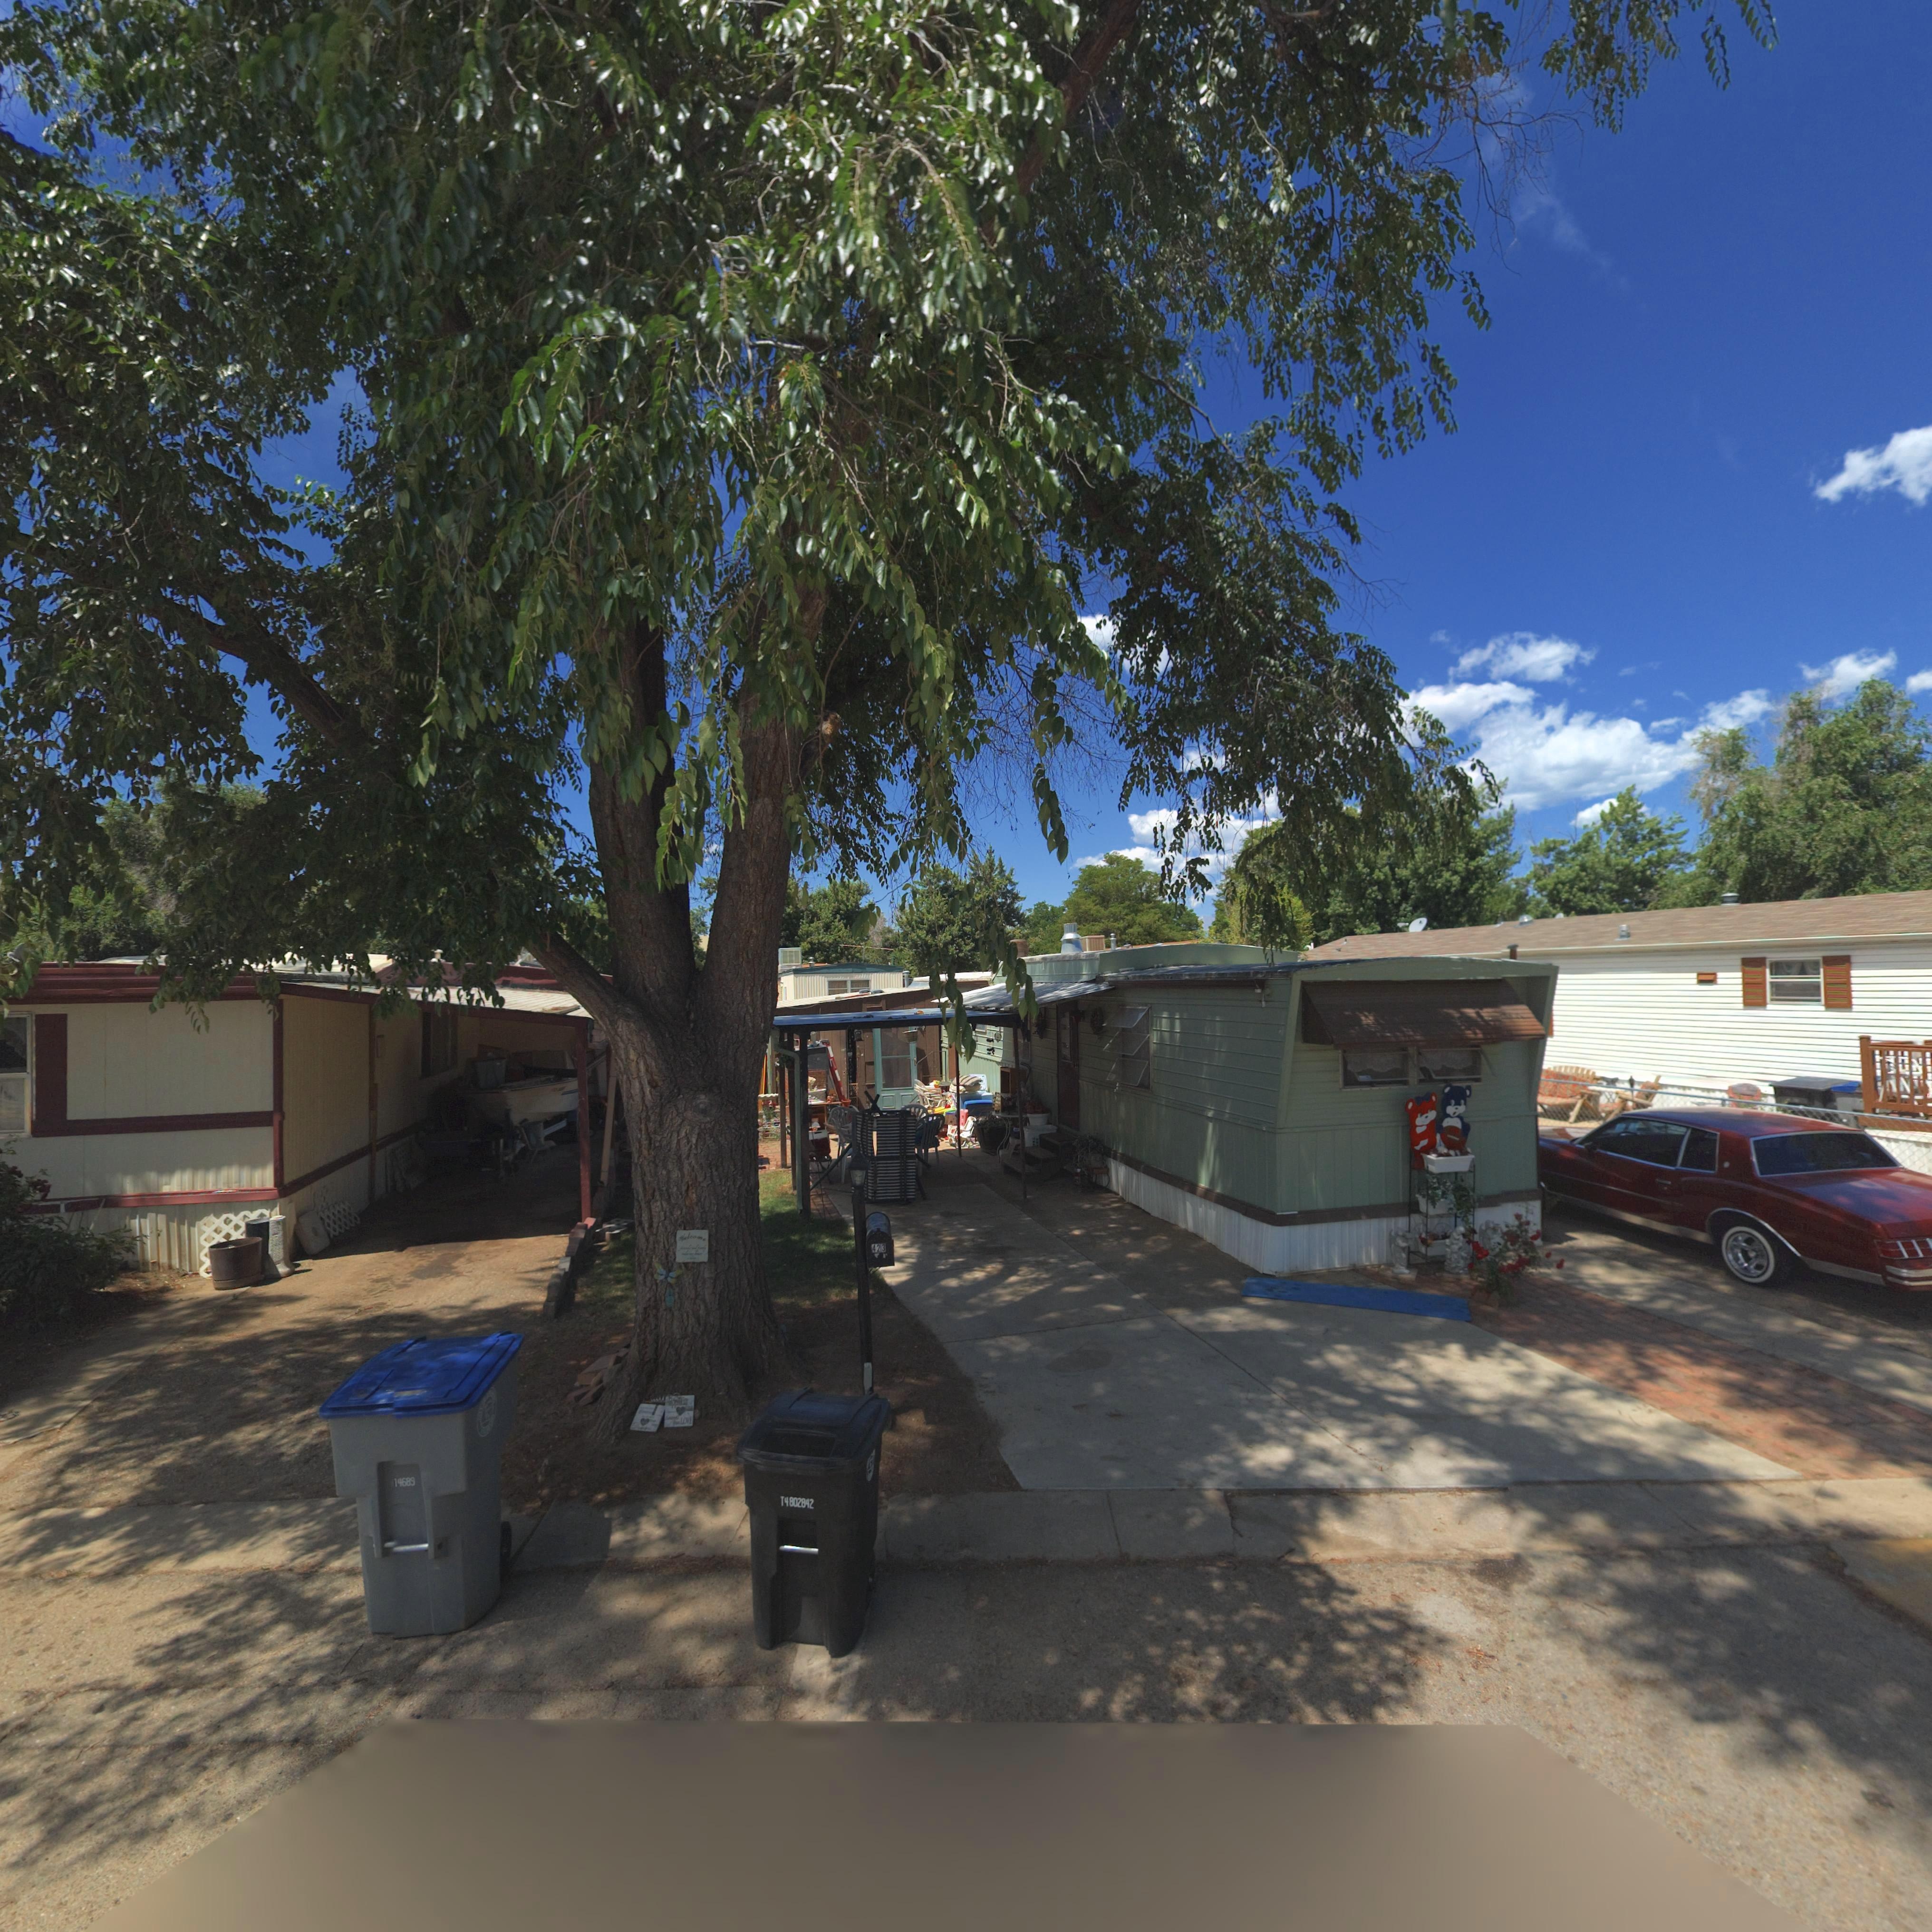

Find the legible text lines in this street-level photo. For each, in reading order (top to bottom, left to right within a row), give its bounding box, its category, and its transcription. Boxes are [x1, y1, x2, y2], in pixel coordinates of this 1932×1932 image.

[871, 1243, 885, 1252] StreetNumber: 423